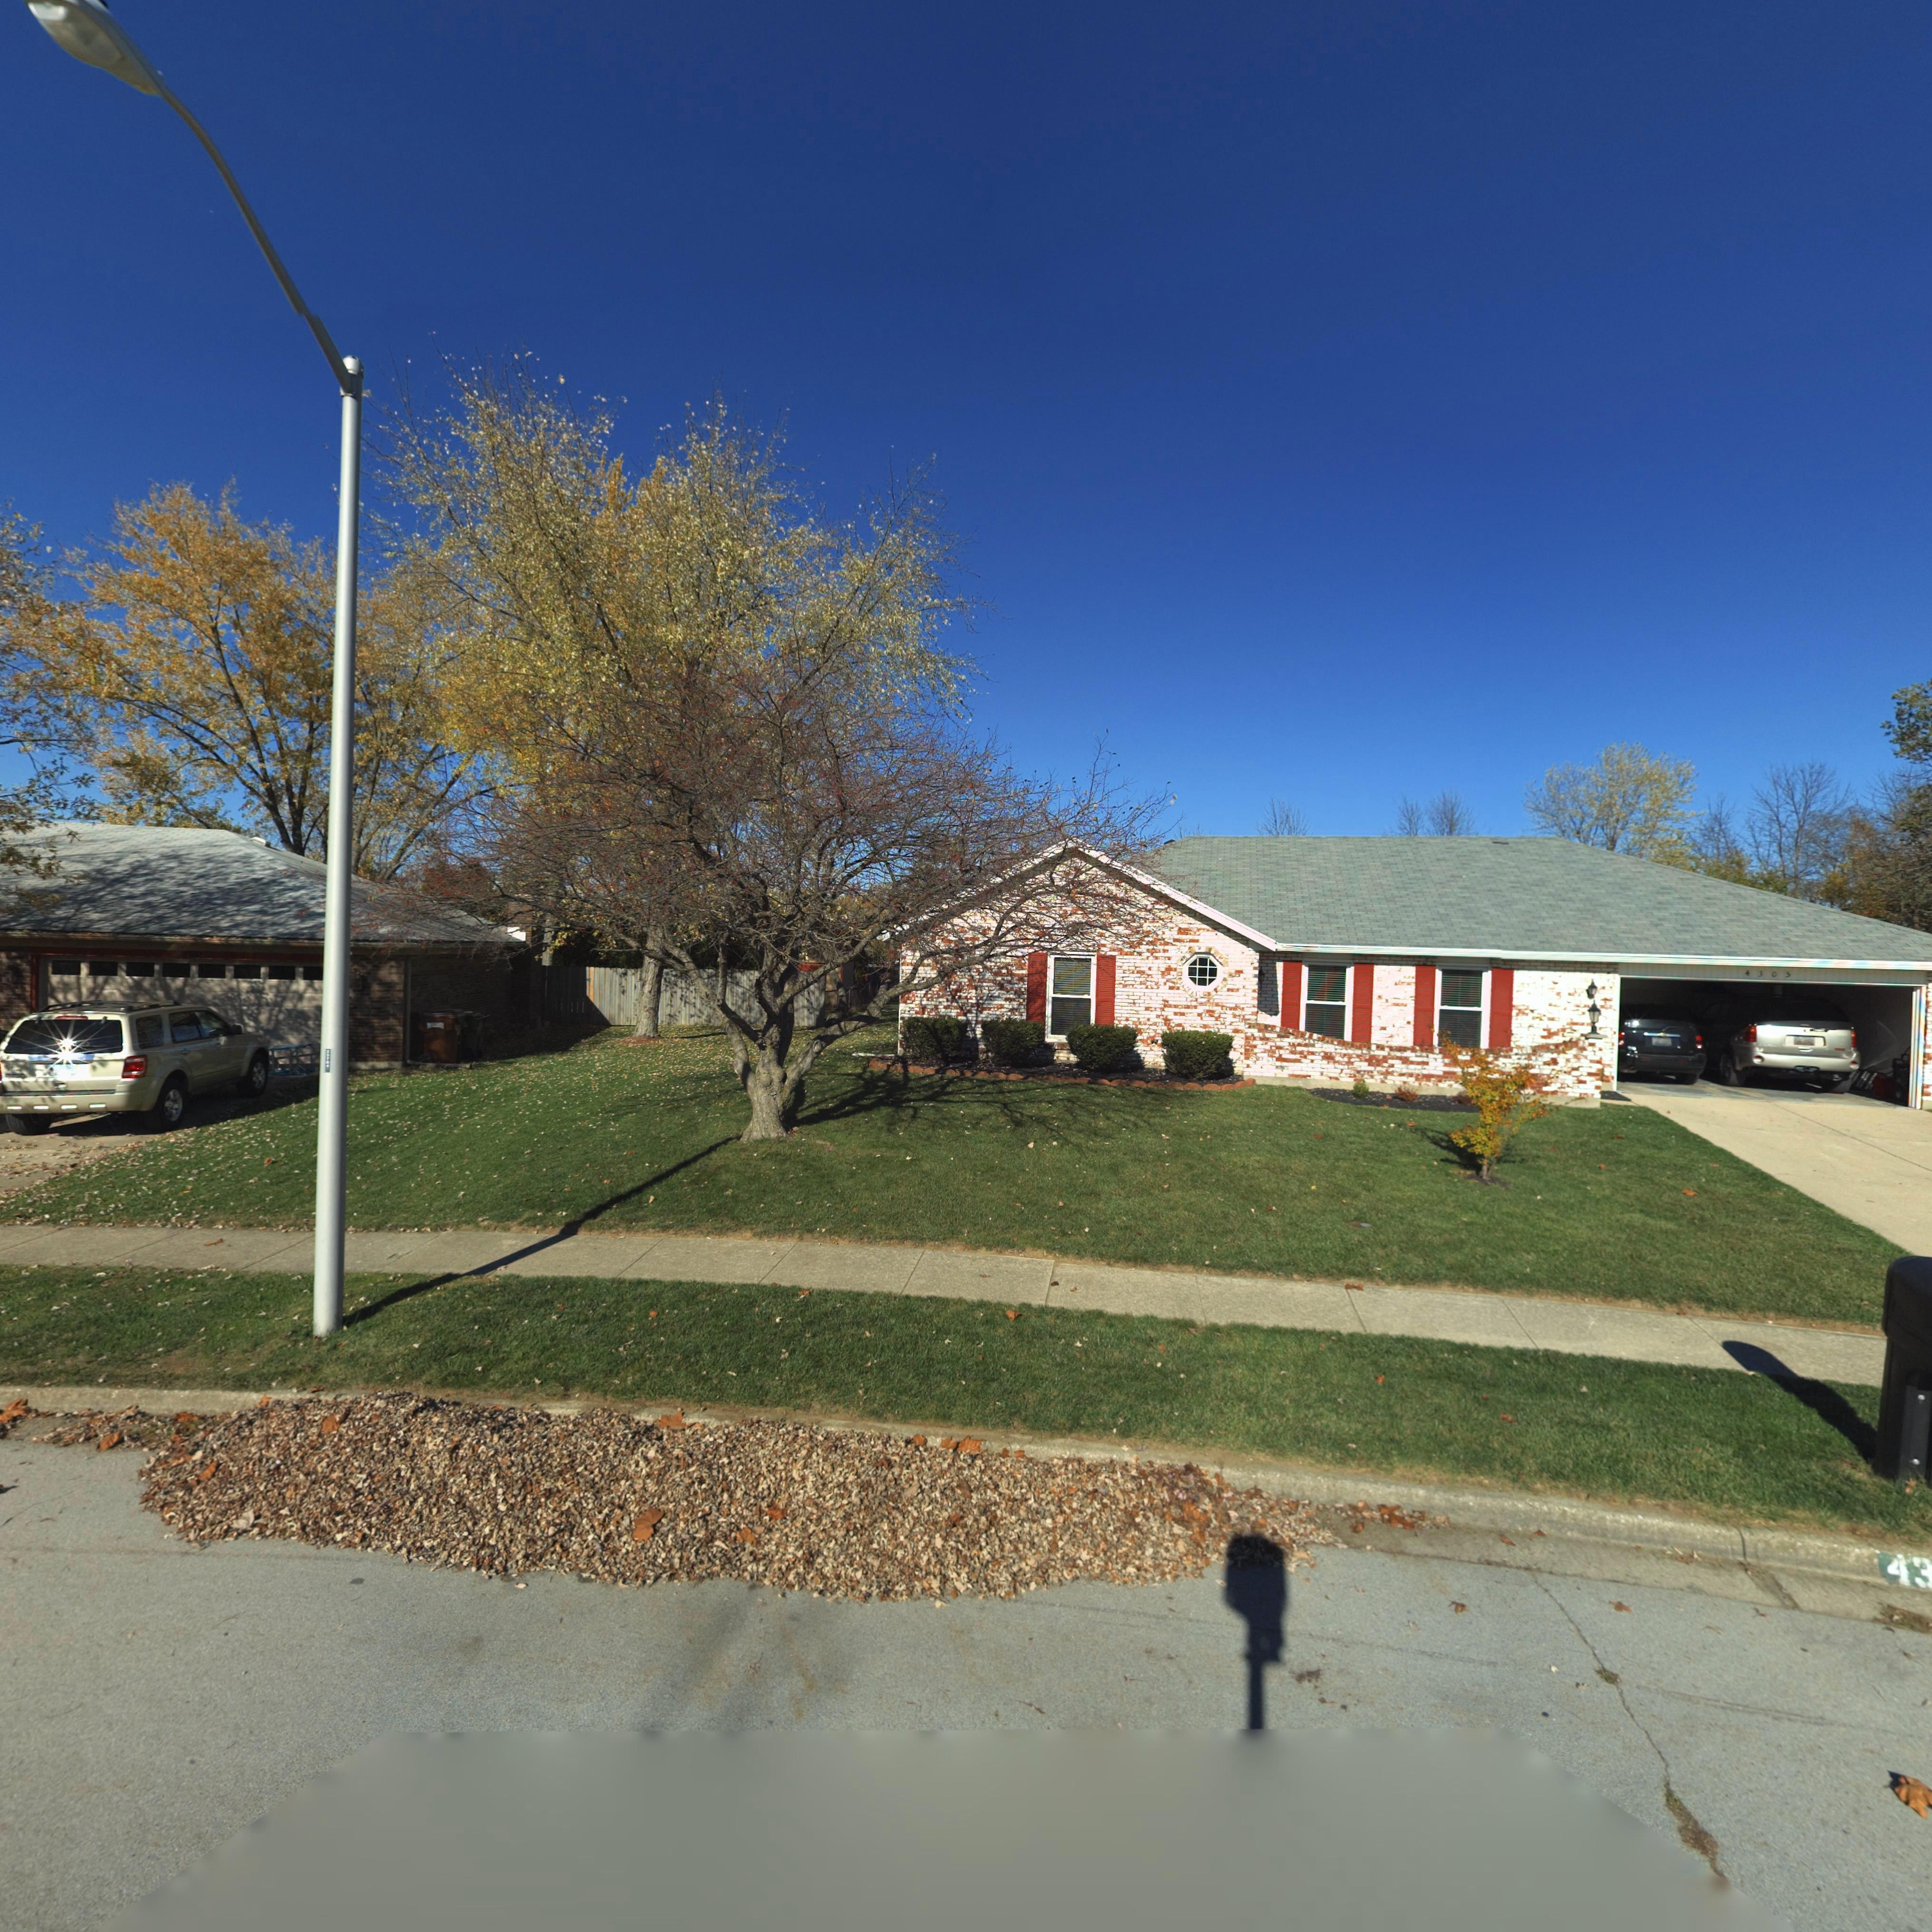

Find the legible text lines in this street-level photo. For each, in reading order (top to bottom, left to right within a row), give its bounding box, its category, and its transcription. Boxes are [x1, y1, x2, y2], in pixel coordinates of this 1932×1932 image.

[182, 950, 206, 959] StreetNumber: *30*
[1744, 969, 1791, 978] StreetNumber: 4305
[1886, 1552, 1932, 1589] StreetNumber: 43